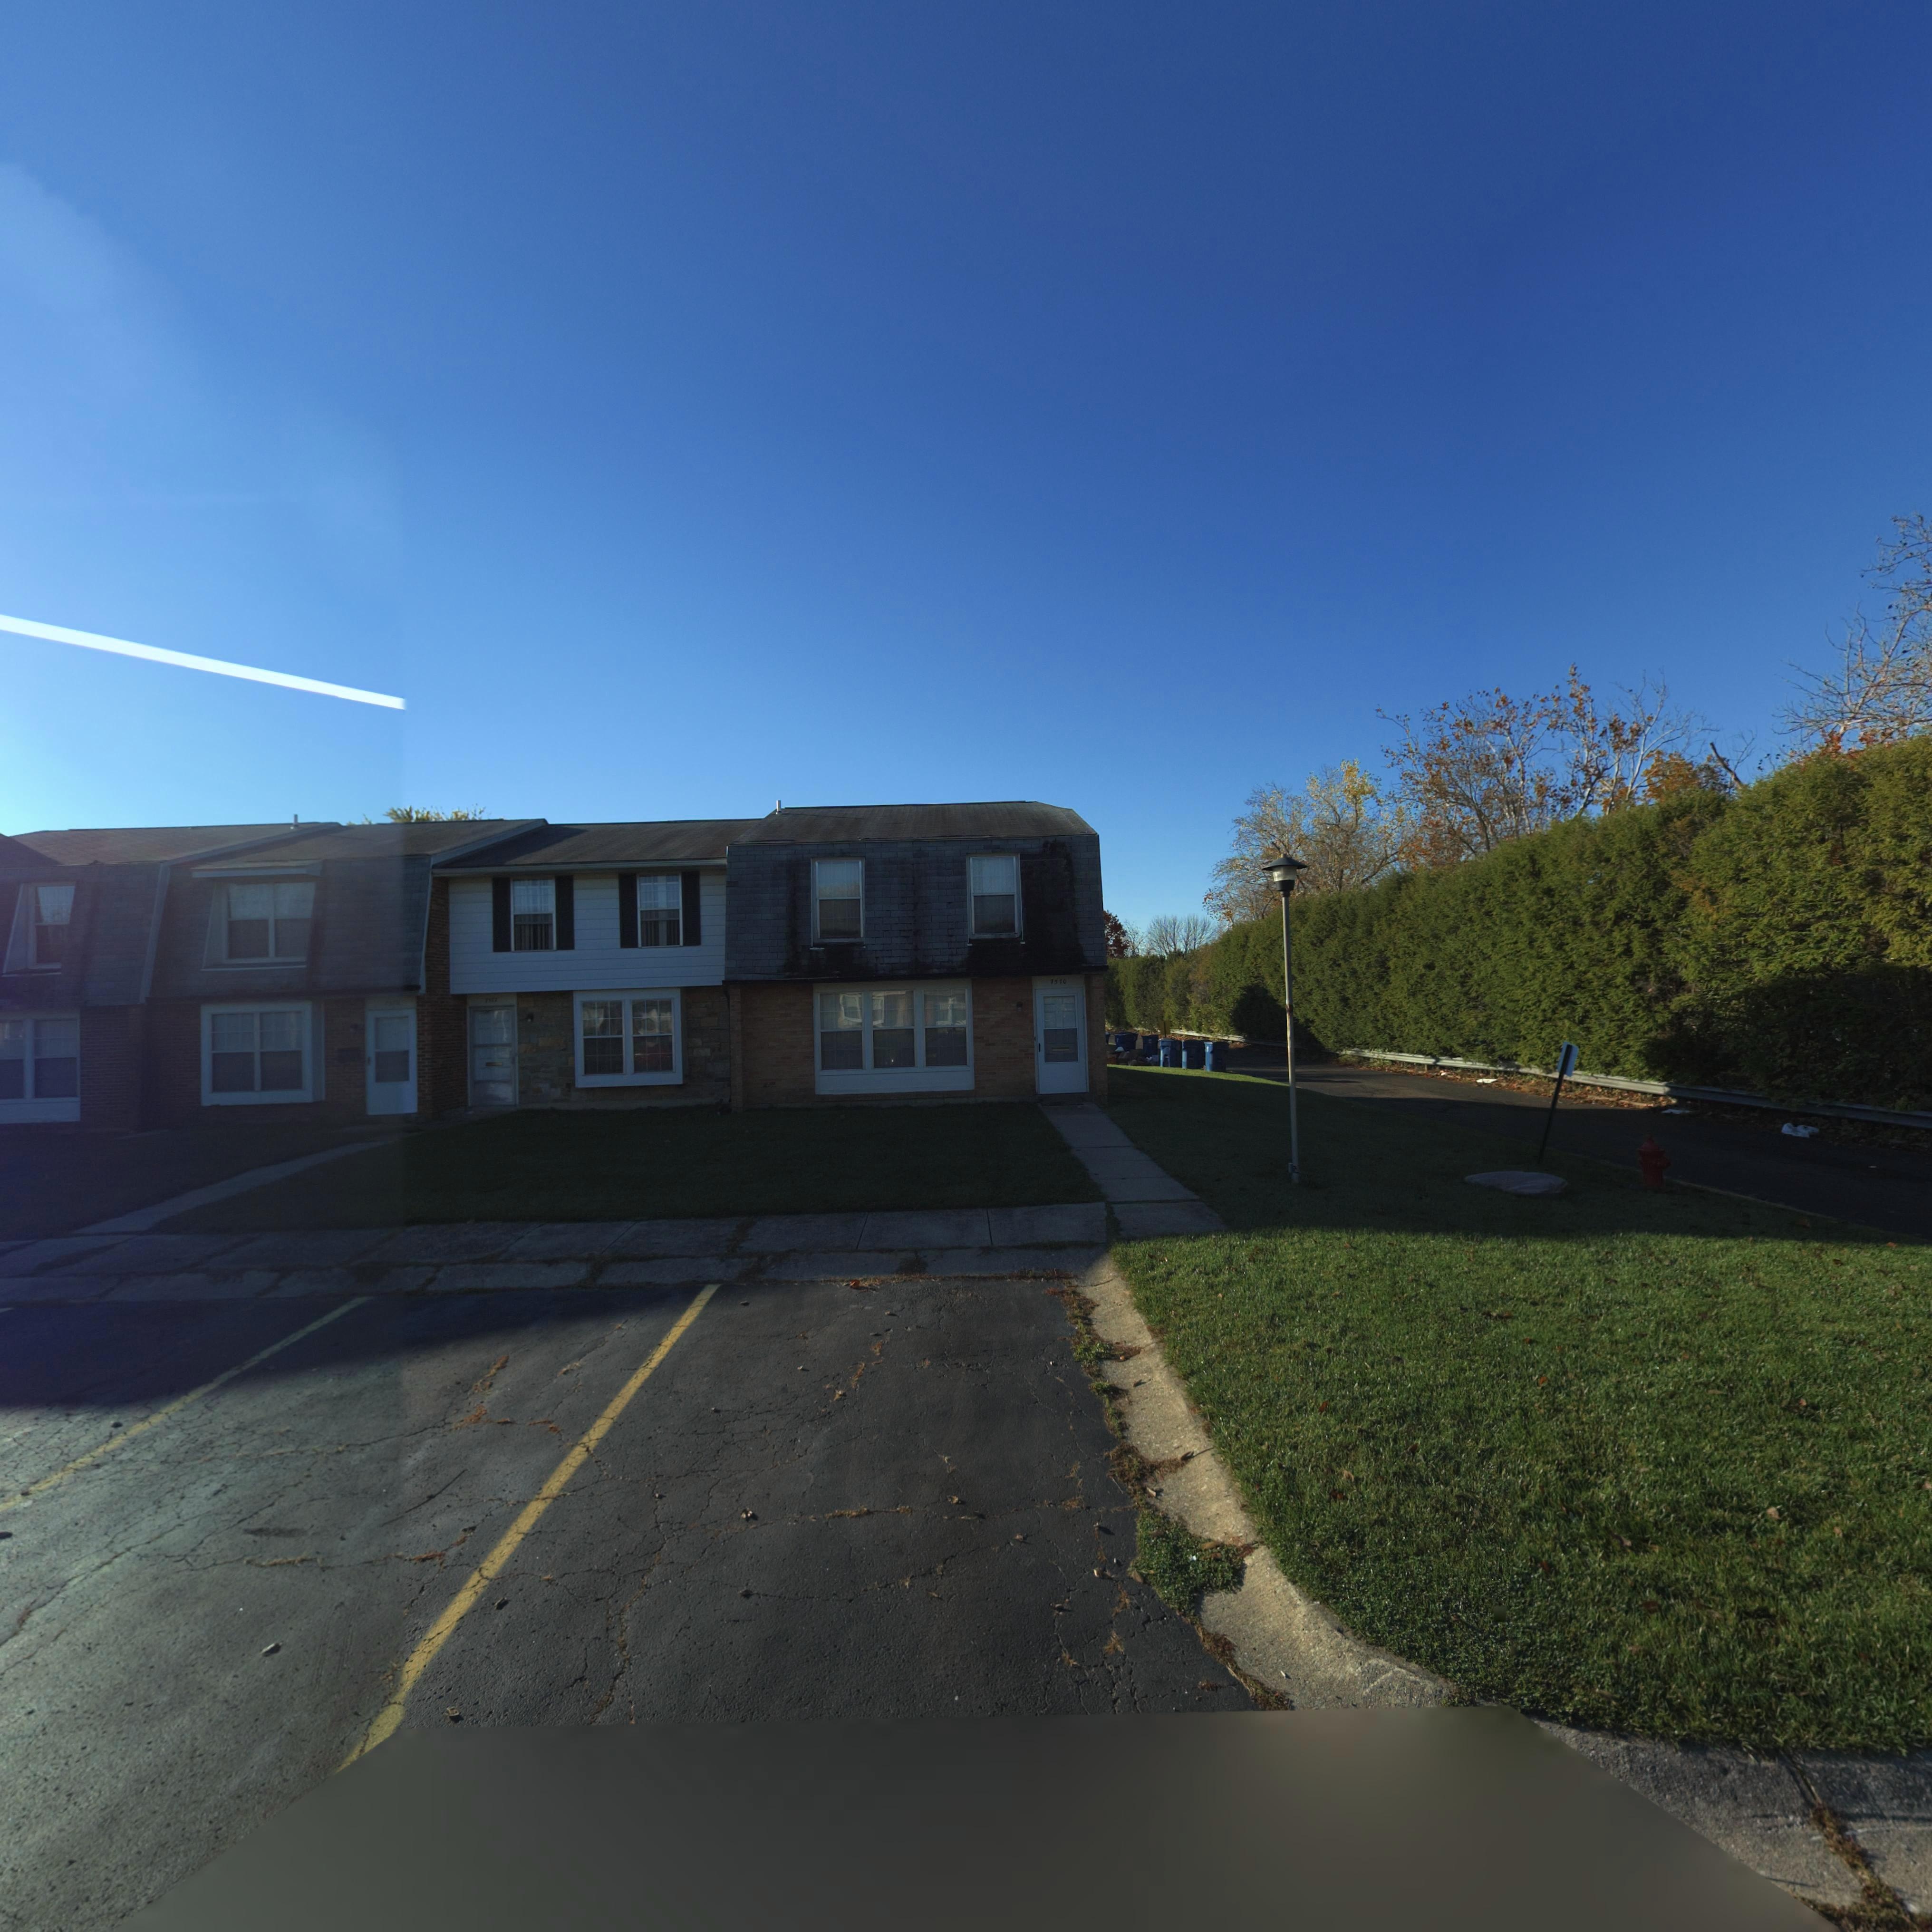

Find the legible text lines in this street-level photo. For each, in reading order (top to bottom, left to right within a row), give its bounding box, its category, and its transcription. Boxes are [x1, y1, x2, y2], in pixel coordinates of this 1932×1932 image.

[1049, 978, 1068, 985] StreetNumber: 7570